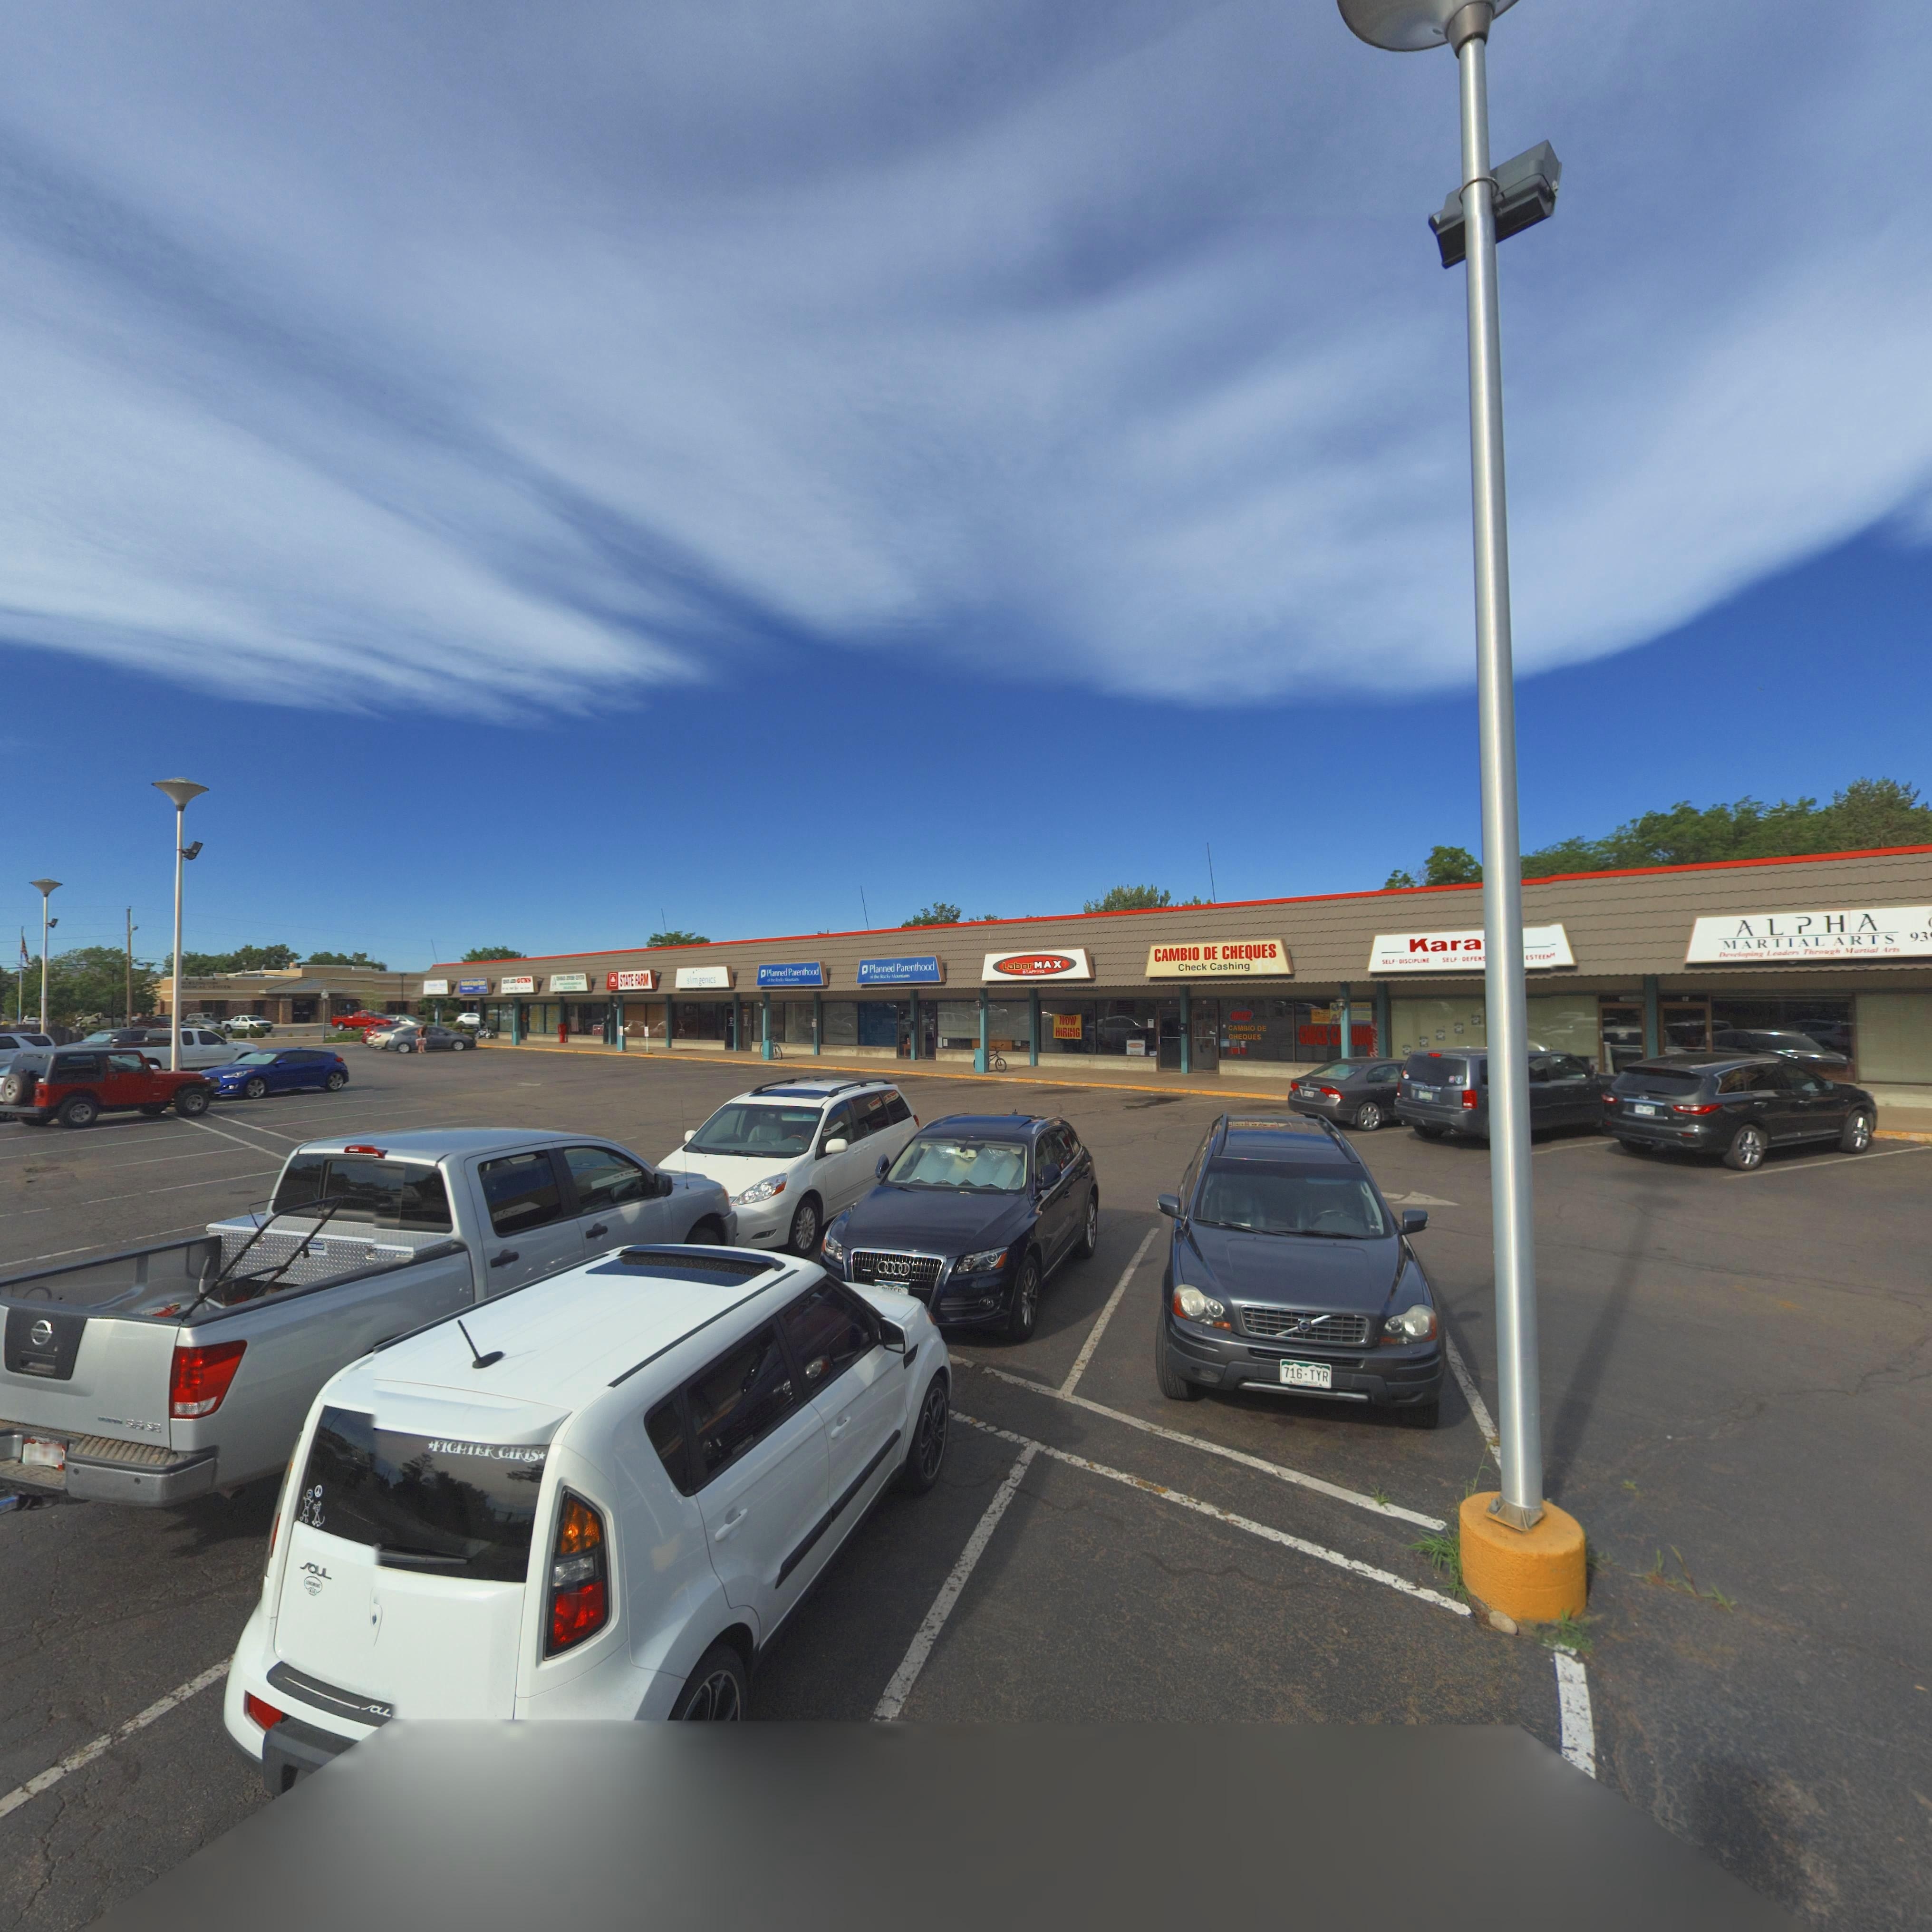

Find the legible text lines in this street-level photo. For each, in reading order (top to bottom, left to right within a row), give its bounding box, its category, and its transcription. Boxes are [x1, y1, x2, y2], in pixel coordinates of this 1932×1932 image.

[1735, 913, 1878, 937] BusinessName: ALPHA
[1722, 933, 1894, 950] BusinessName: MARTIAL ARTS
[1153, 943, 1277, 962] BusinessName: CAMBIO DE CHEQUES
[767, 966, 819, 977] BusinessName: Planned Parenthood
[869, 961, 935, 973] BusinessName: Planned Parenthood
[1002, 959, 1063, 970] BusinessName: LaborMAX
[1022, 969, 1045, 974] BusinessName: STAFFING
[502, 977, 531, 984] BusinessName: *** *** G*NS
[619, 972, 649, 987] BusinessName: STATE FARM
[686, 975, 716, 986] BusinessName: slimgenics
[181, 985, 231, 989] BusinessName: ******* C**T**
[1227, 1024, 1267, 1032] BusinessName: CAMBIO DE
[1228, 1034, 1261, 1040] BusinessName: CHEQUES